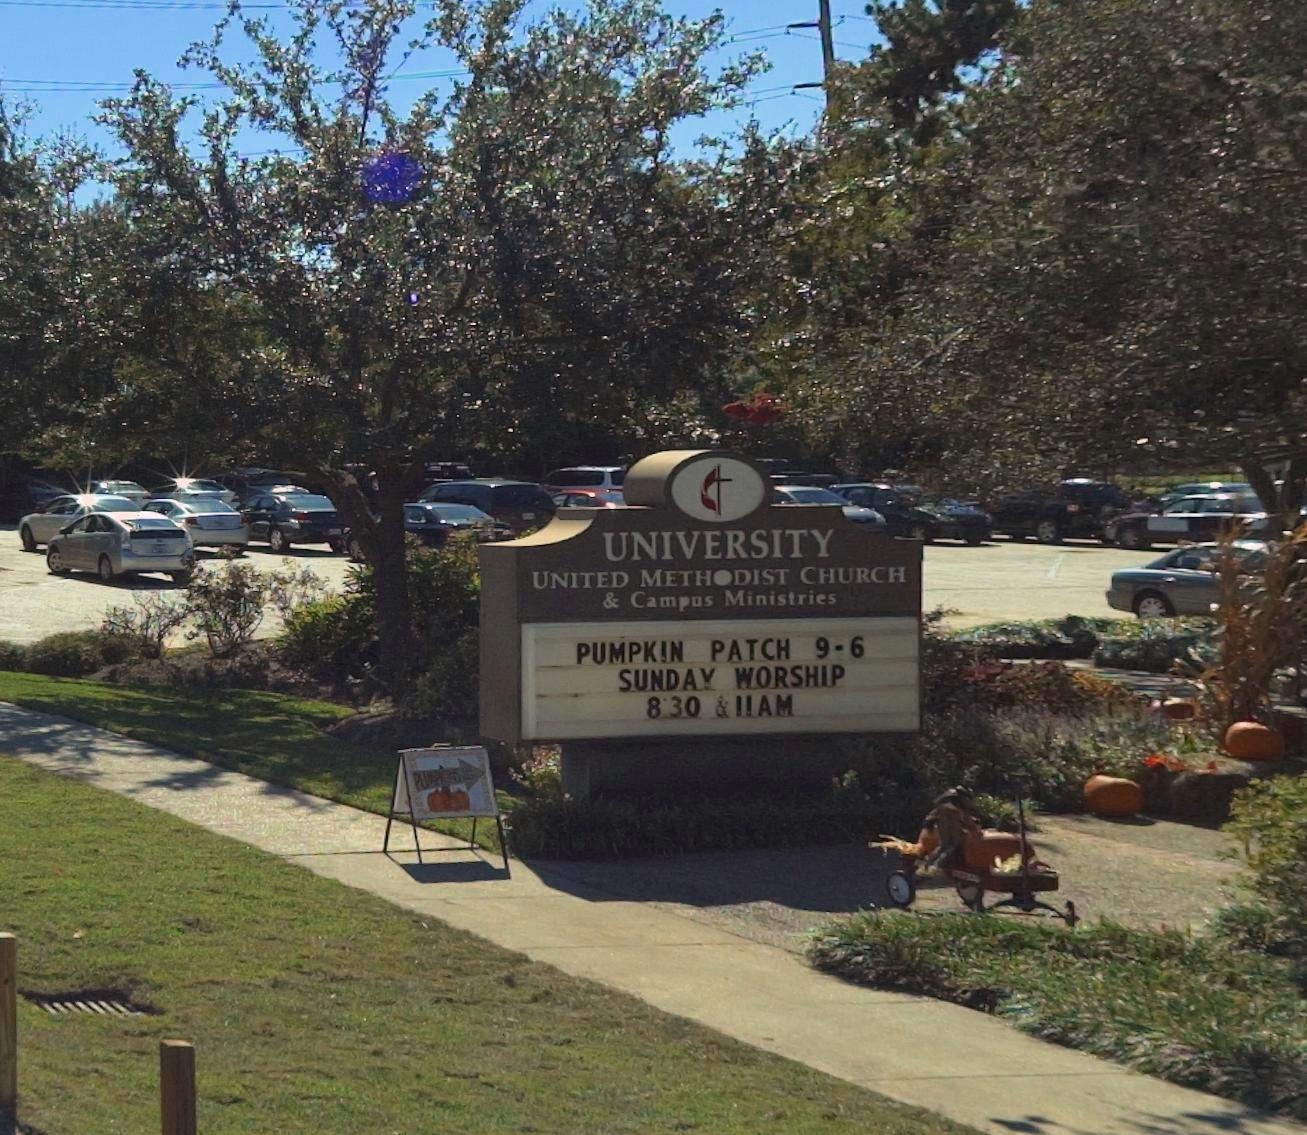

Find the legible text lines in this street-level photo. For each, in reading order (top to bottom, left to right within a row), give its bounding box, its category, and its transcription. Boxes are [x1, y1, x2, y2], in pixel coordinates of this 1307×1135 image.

[602, 527, 836, 562] BusinessName: UNIVERSITY
[532, 565, 907, 591] BusinessName: UNITED METHODIST CHURCH
[601, 587, 838, 613] BusinessName: & Campus Ministries
[576, 635, 865, 665] None: PUMPKIN PATCH 9-6
[617, 665, 846, 694] None: SUNDAY WORSHIP
[646, 694, 794, 720] None: 8:30 & 11AM
[412, 769, 432, 792] None: PU